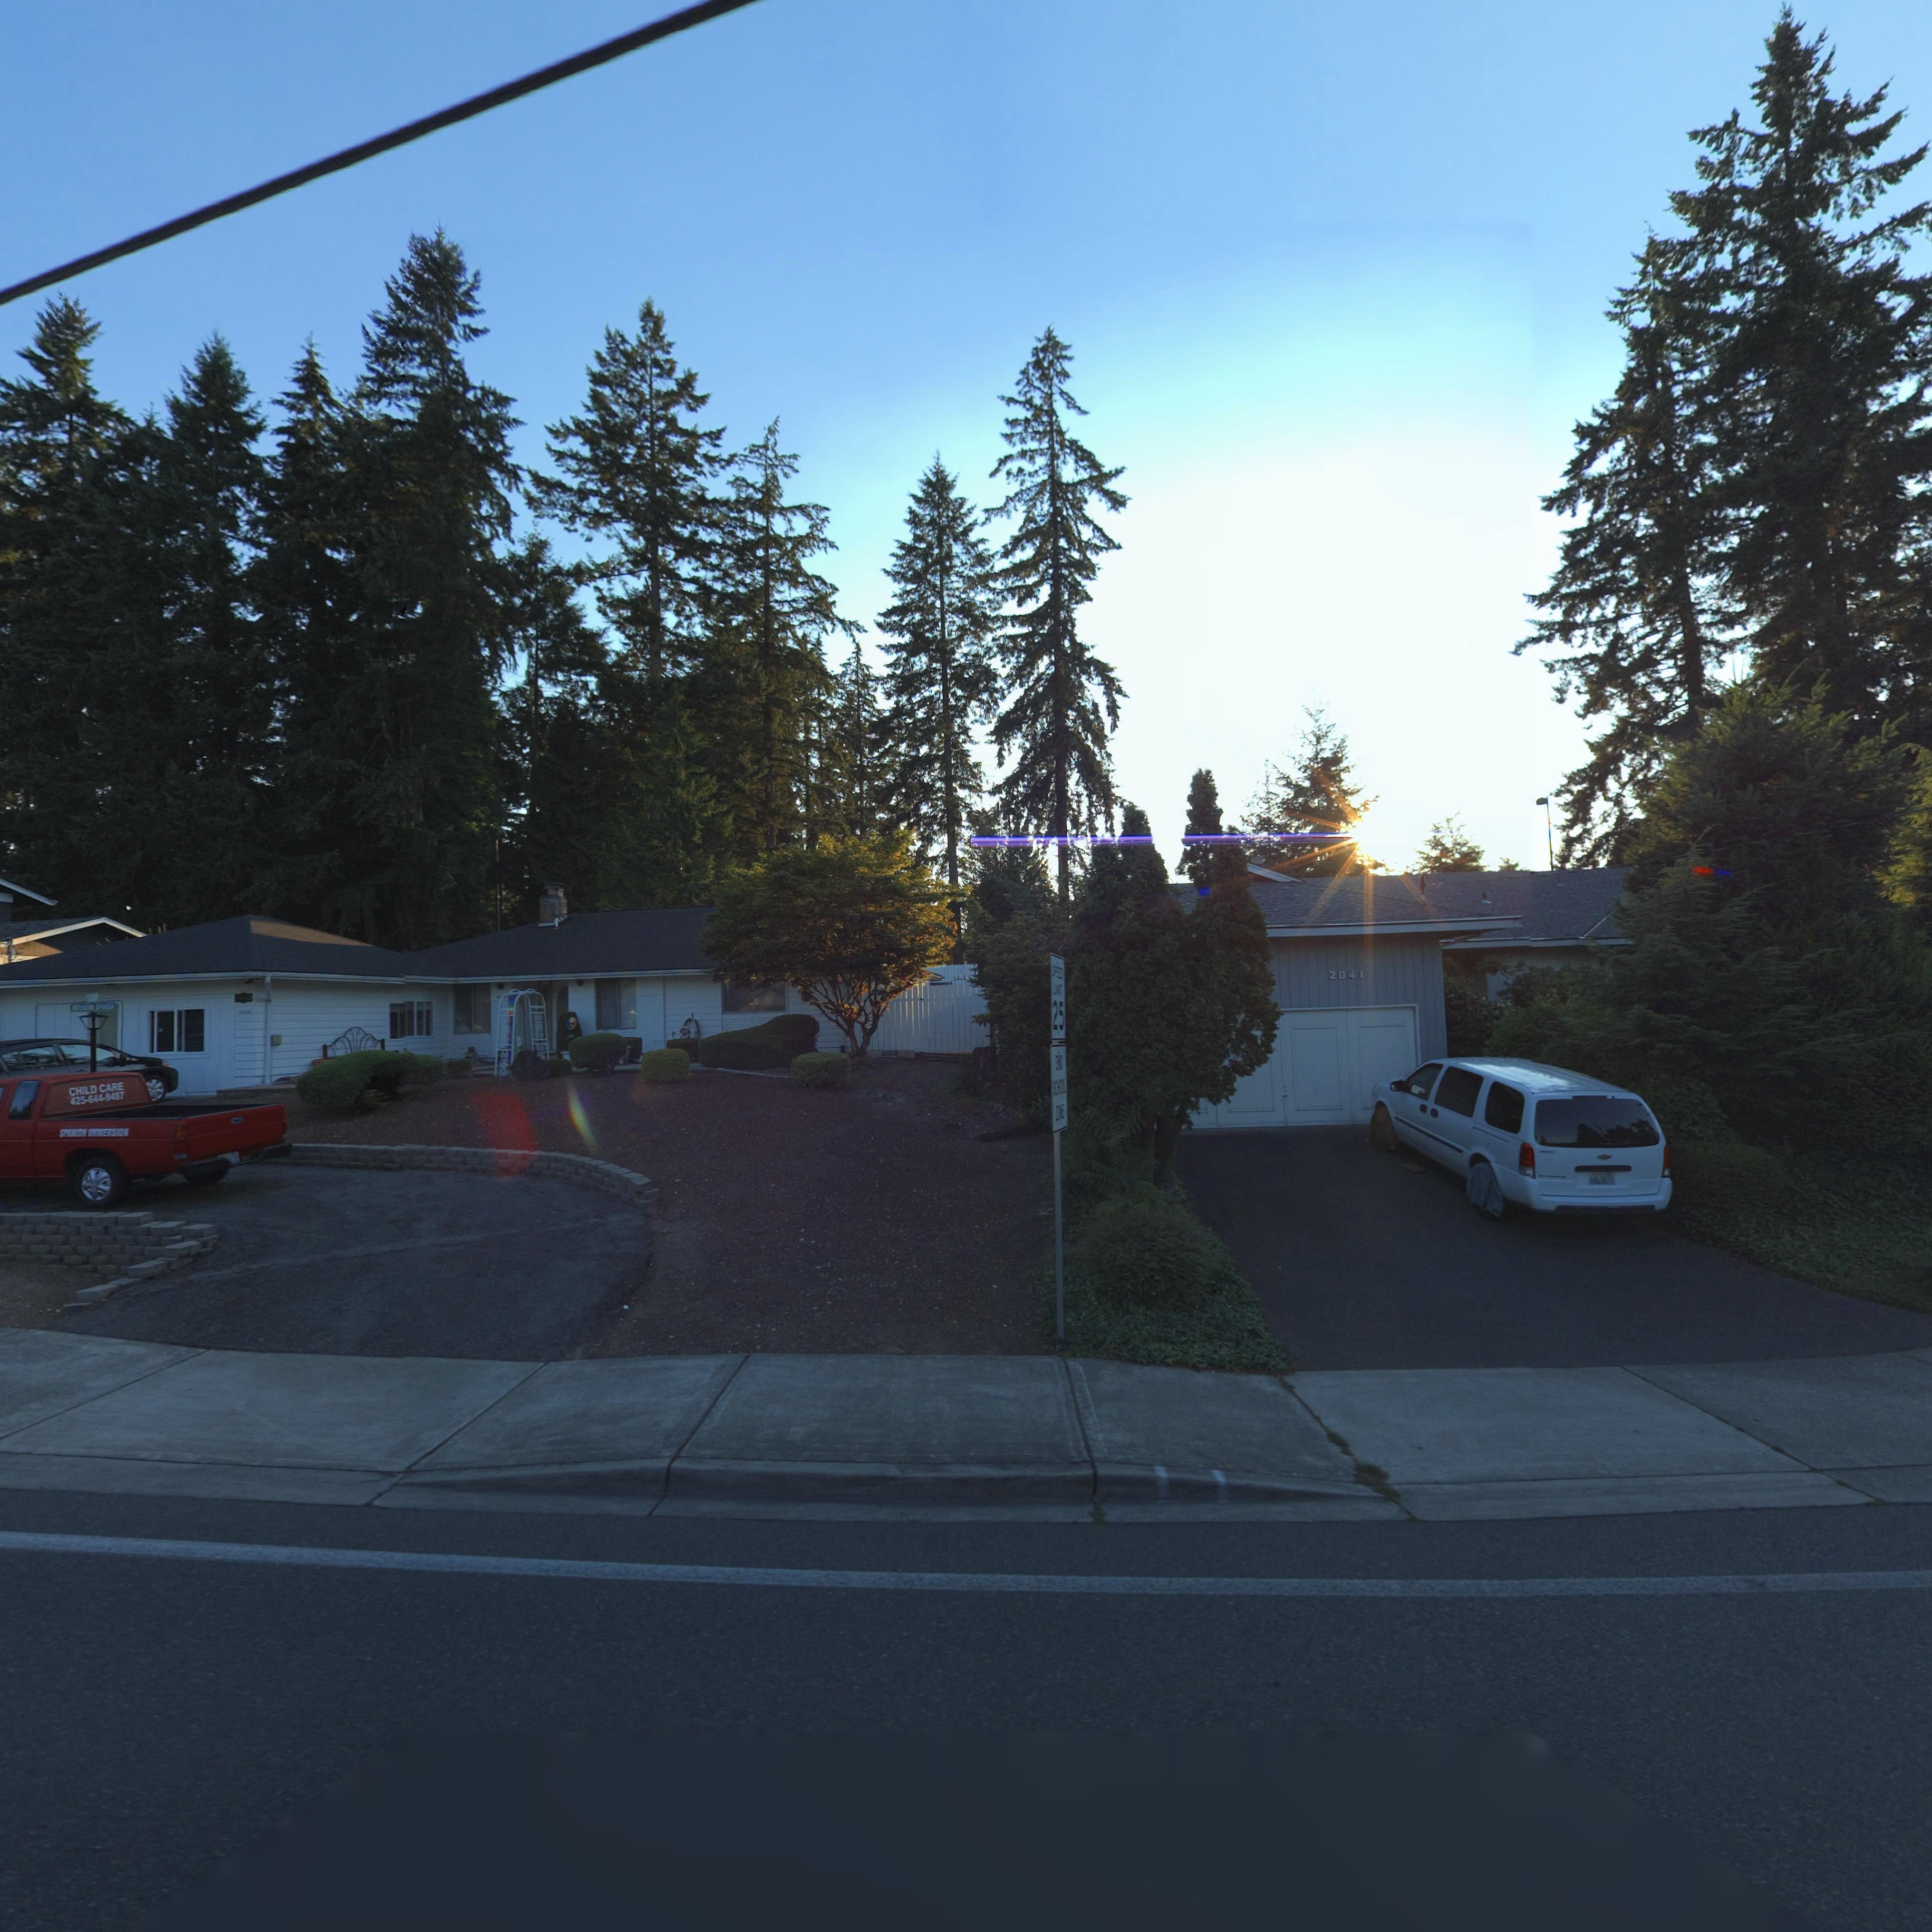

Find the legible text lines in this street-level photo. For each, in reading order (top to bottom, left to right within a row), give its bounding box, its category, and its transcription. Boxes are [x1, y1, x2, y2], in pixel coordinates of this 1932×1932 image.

[1329, 970, 1362, 979] StreetNumber: 2041